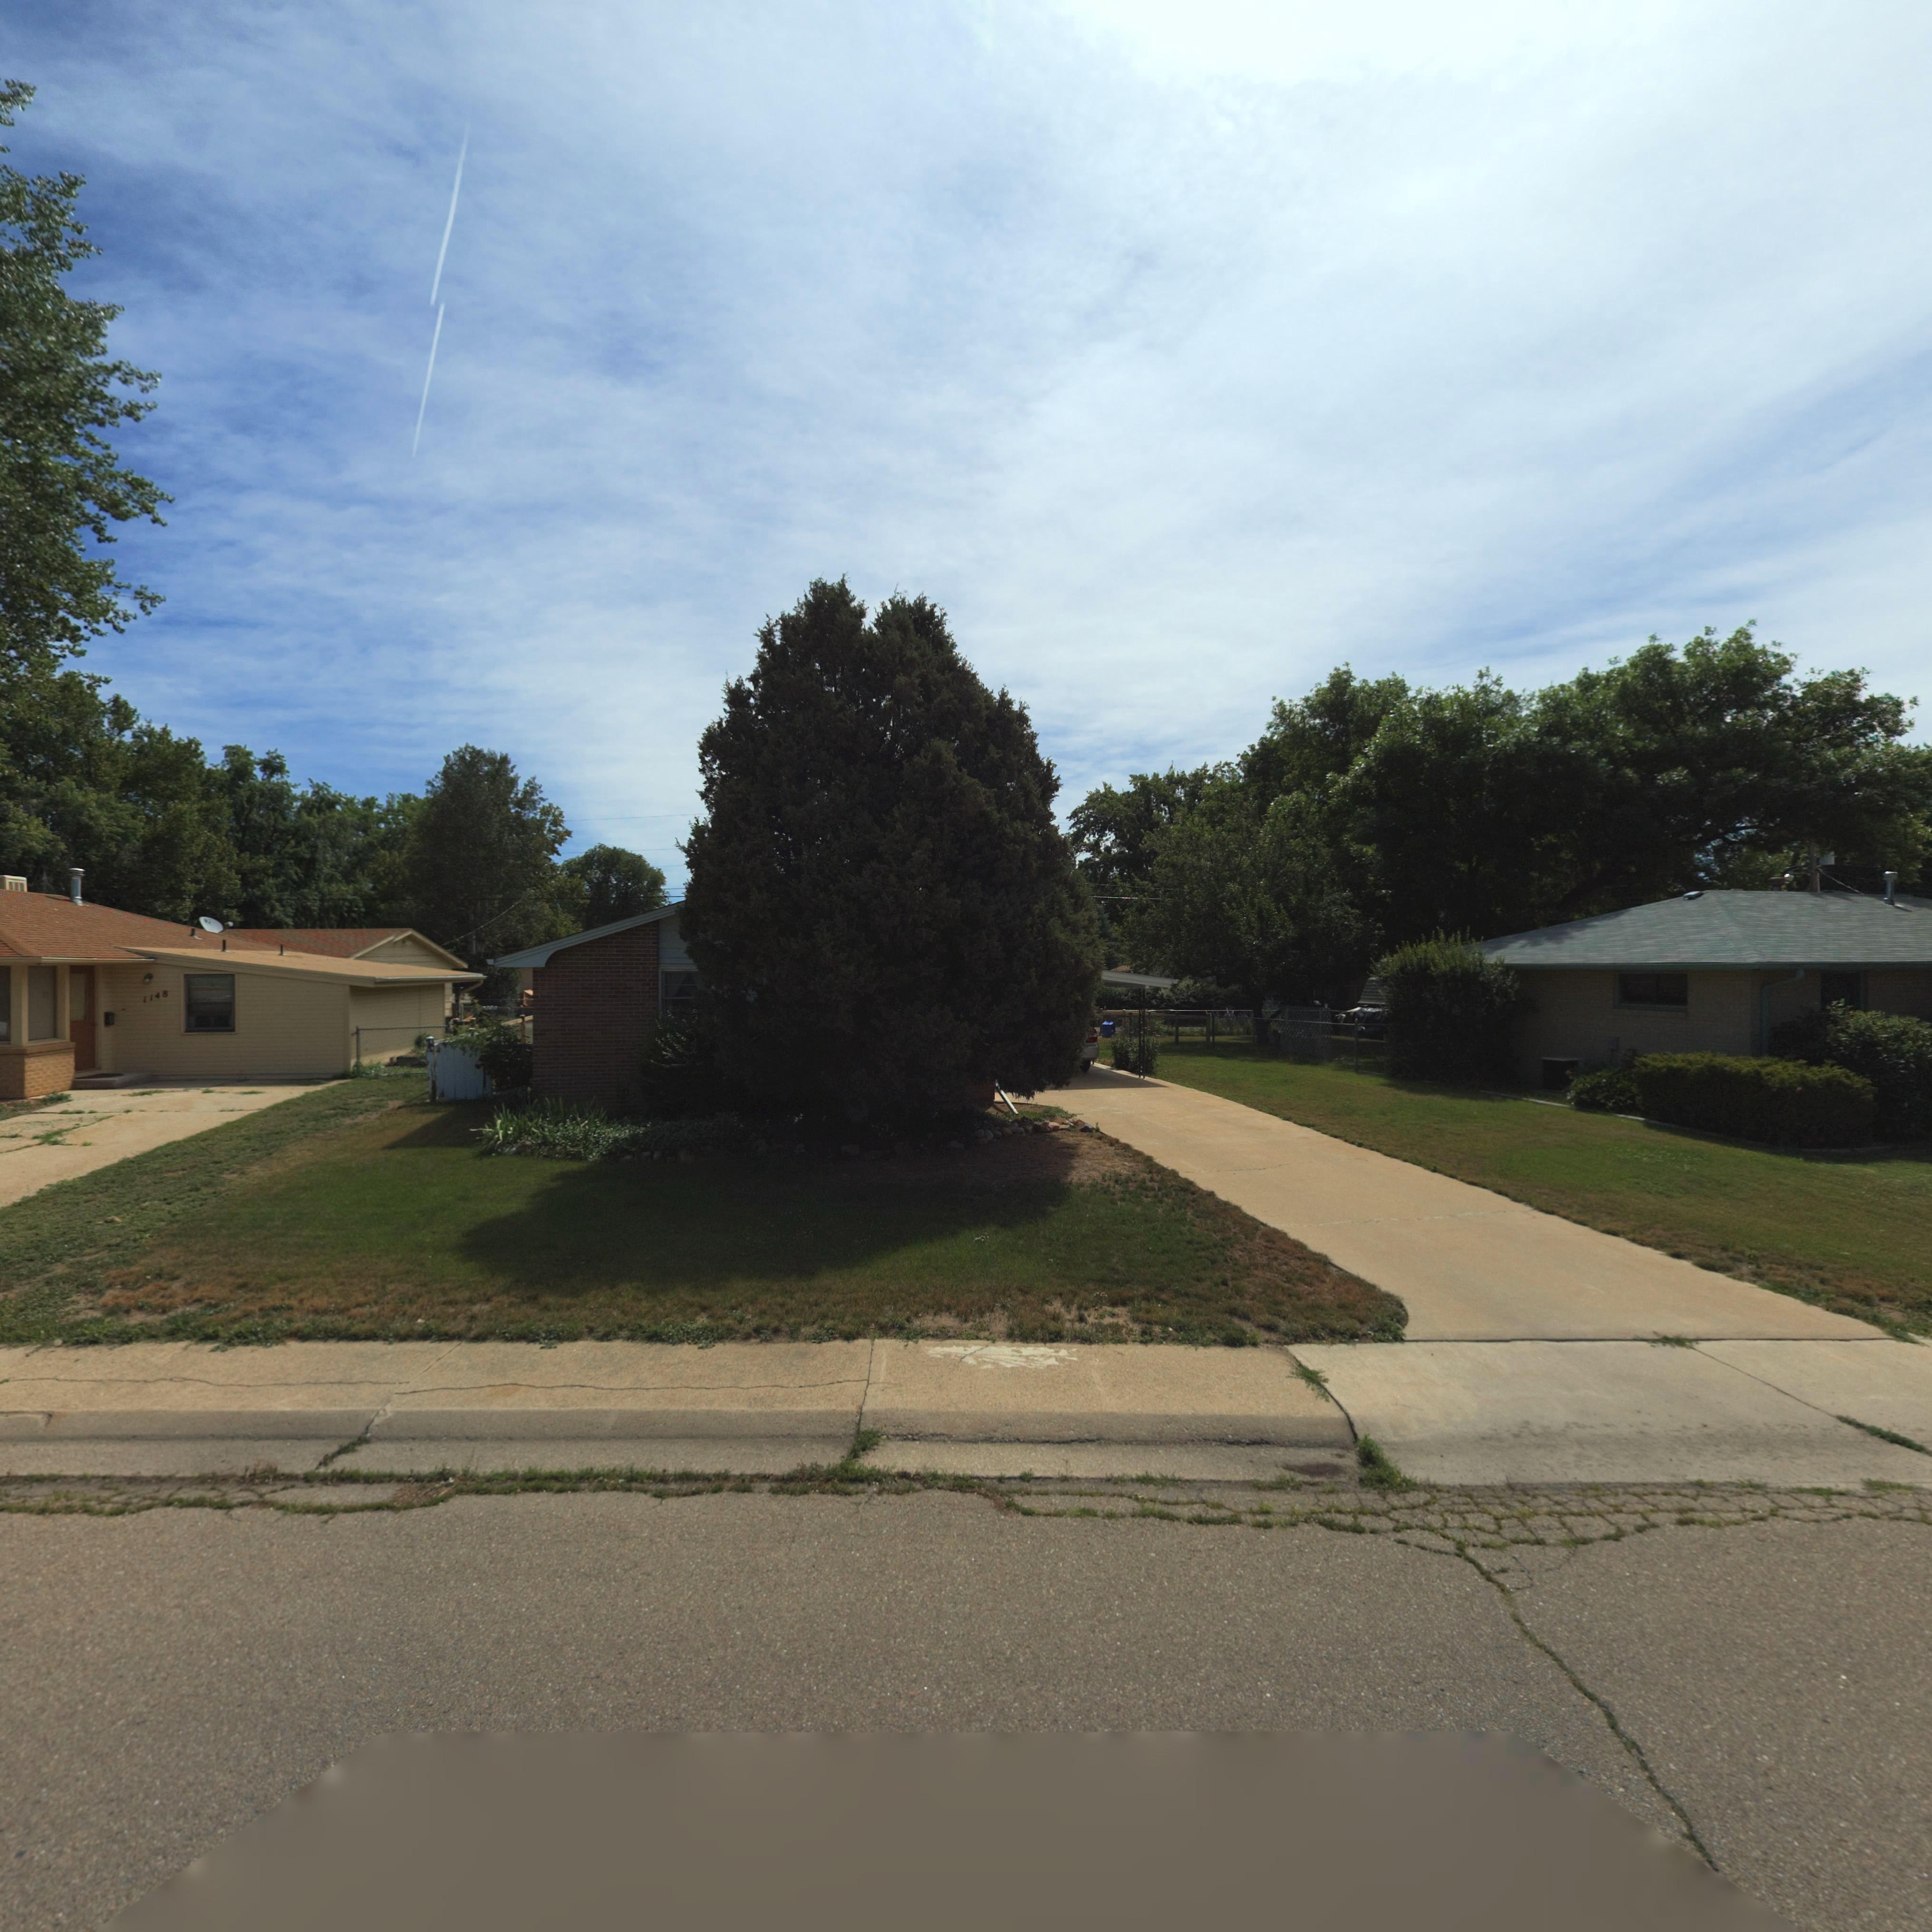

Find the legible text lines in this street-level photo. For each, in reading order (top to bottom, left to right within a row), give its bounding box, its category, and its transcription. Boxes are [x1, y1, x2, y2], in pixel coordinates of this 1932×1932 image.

[143, 989, 168, 1004] StreetNumber: 1148